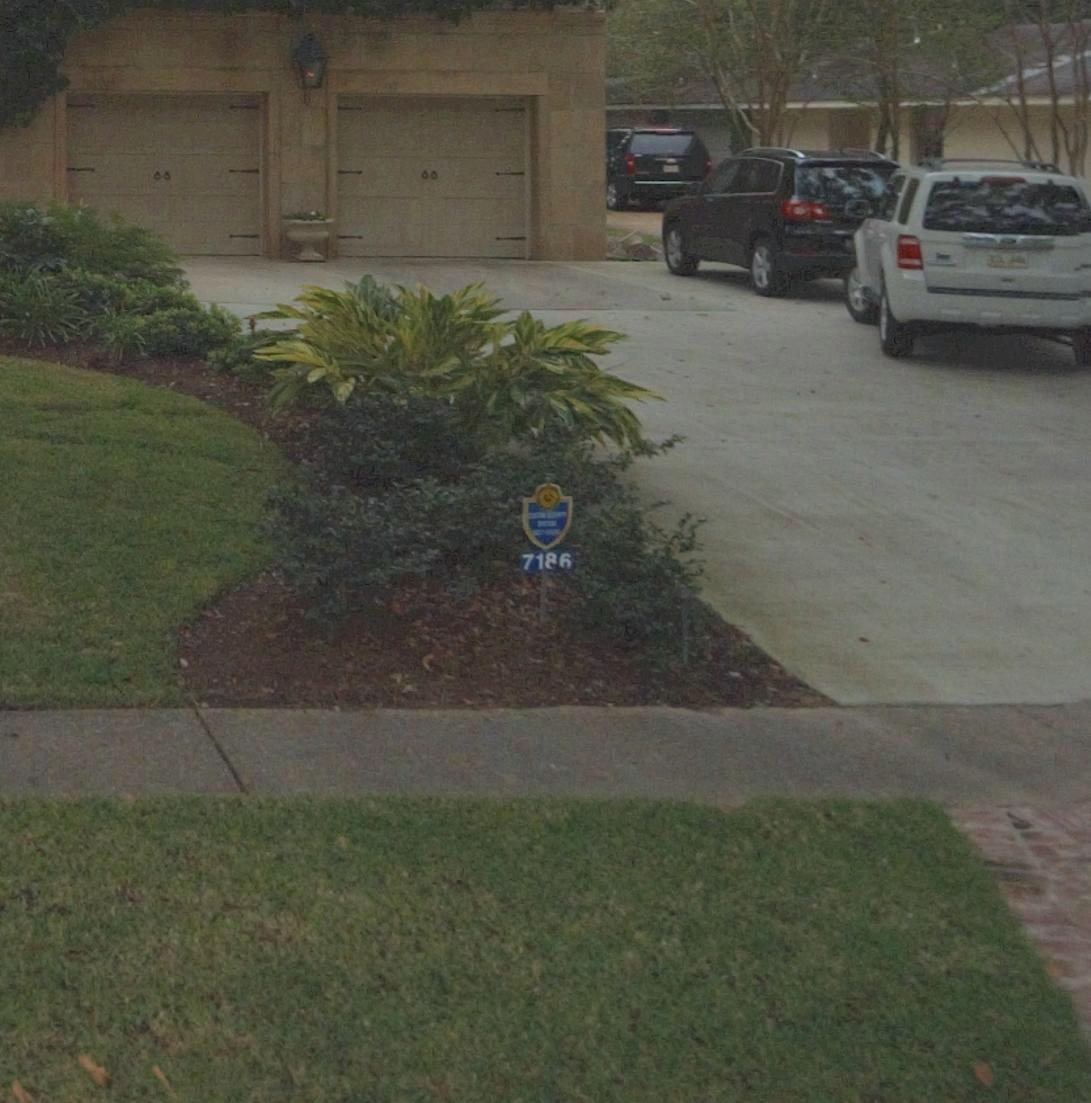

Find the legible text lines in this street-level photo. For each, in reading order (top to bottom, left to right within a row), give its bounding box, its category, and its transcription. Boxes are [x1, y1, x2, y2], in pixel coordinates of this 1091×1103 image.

[520, 553, 572, 571] StreetNumber: 7186